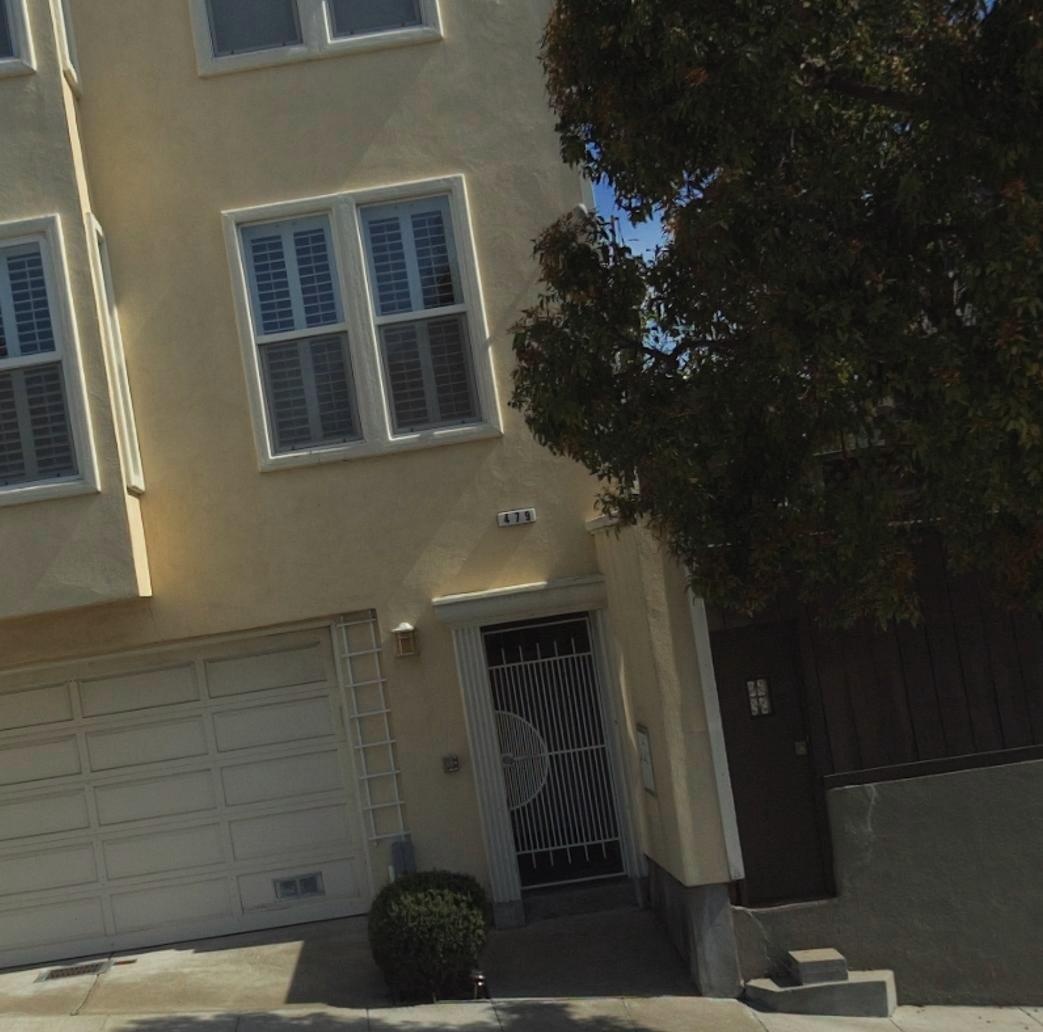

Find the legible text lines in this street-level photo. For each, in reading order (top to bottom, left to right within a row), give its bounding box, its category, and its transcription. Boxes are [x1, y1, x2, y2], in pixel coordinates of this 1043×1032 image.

[503, 510, 532, 525] StreetNumber: 479